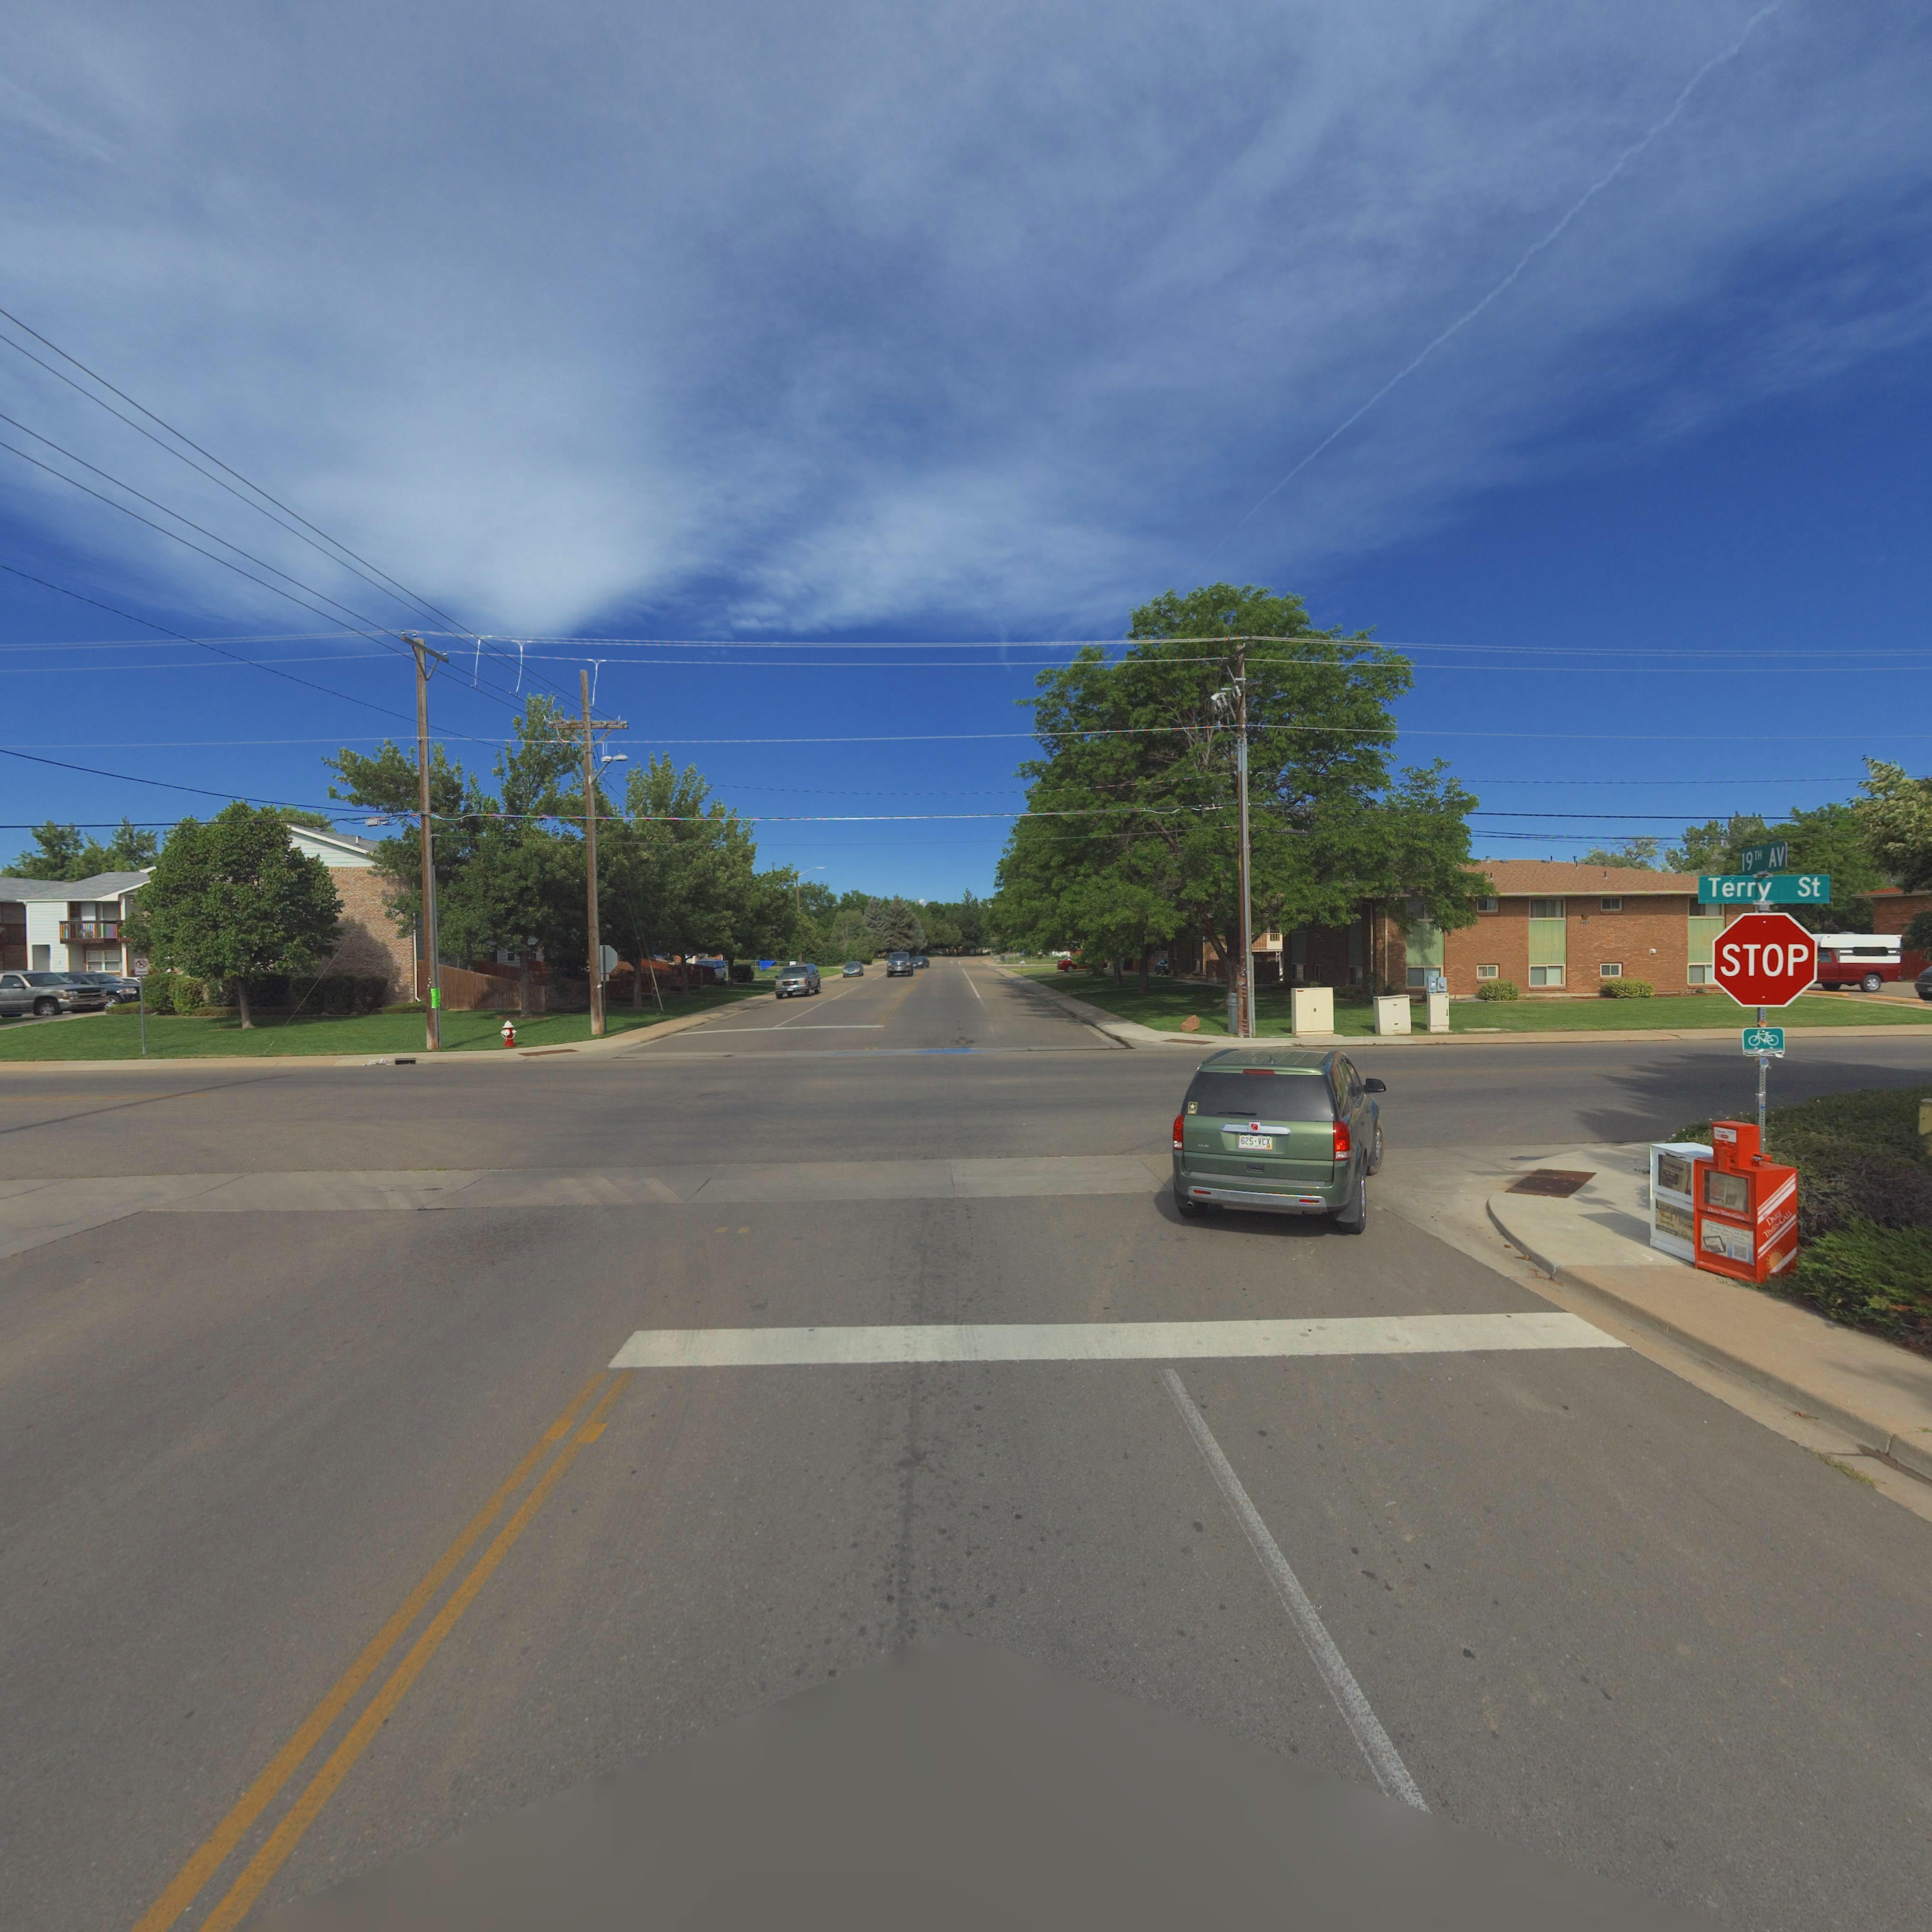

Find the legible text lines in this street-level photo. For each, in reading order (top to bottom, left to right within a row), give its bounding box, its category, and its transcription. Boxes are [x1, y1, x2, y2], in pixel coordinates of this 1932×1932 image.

[1741, 845, 1785, 872] StreetName: 19TH AV
[1707, 876, 1820, 901] StreetName: Terry St